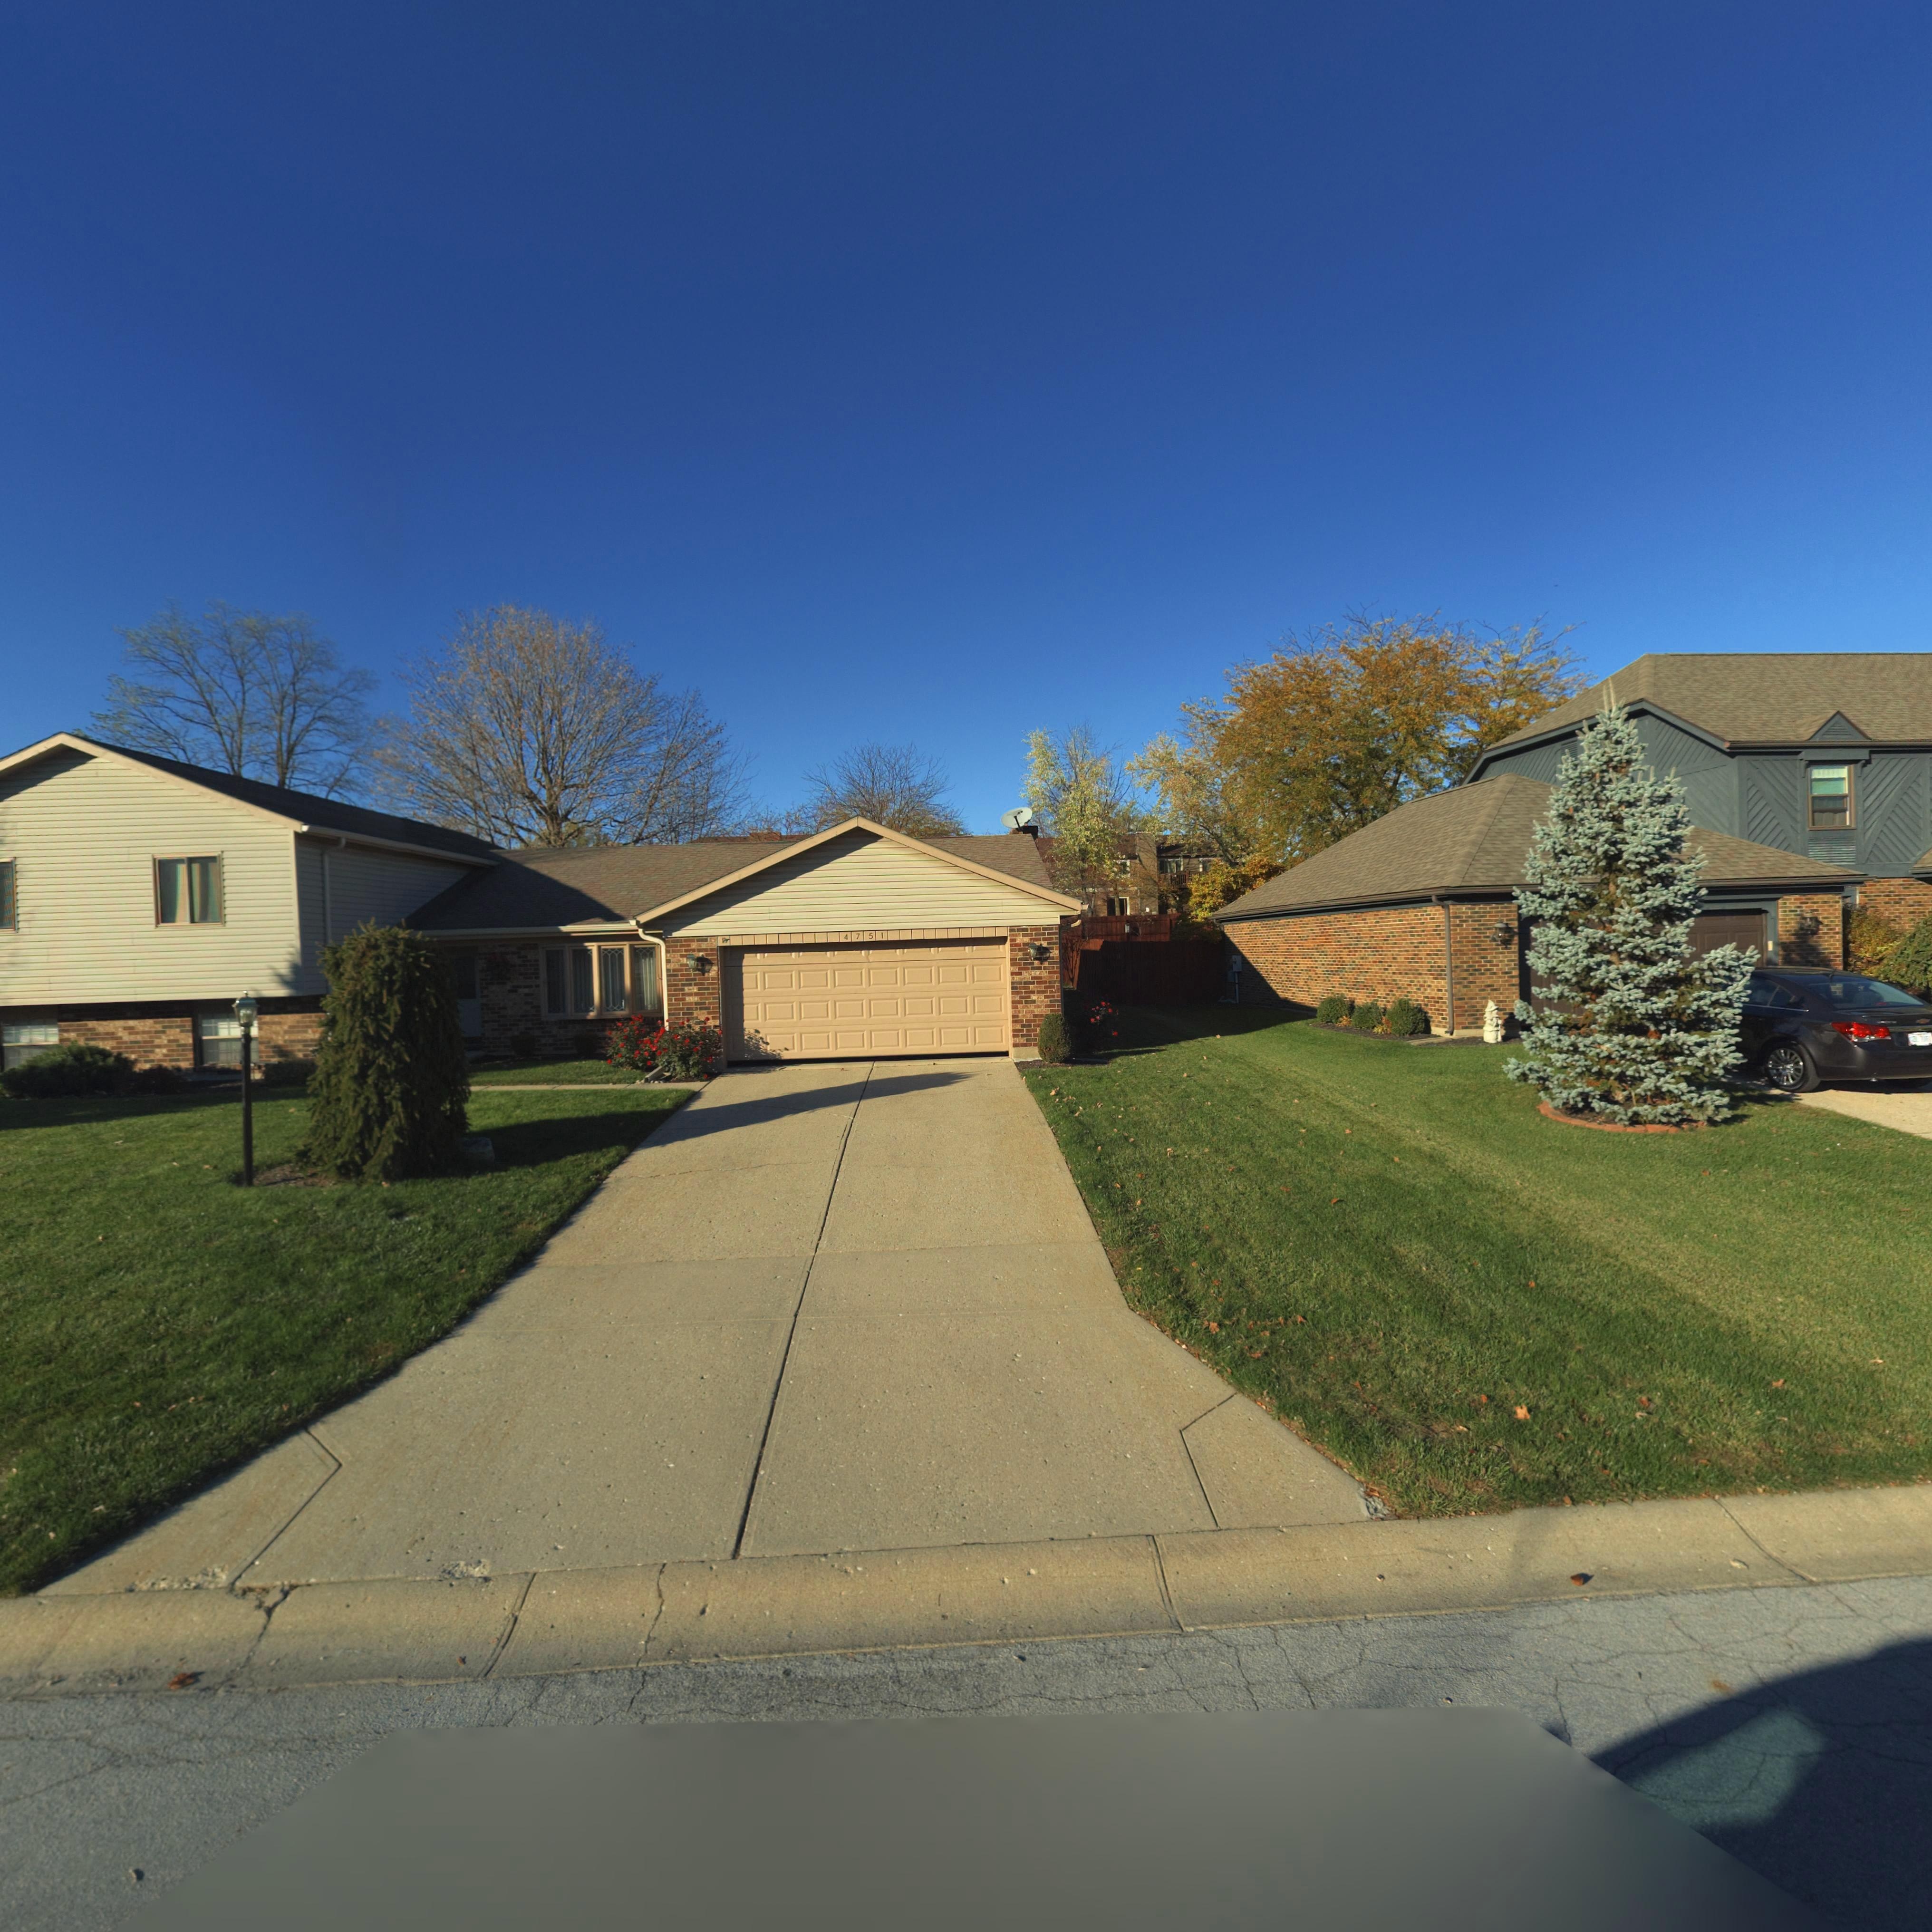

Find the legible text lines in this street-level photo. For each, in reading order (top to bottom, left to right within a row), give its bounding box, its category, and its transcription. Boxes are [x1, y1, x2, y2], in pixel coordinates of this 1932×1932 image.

[842, 931, 885, 941] StreetNumber: 4751